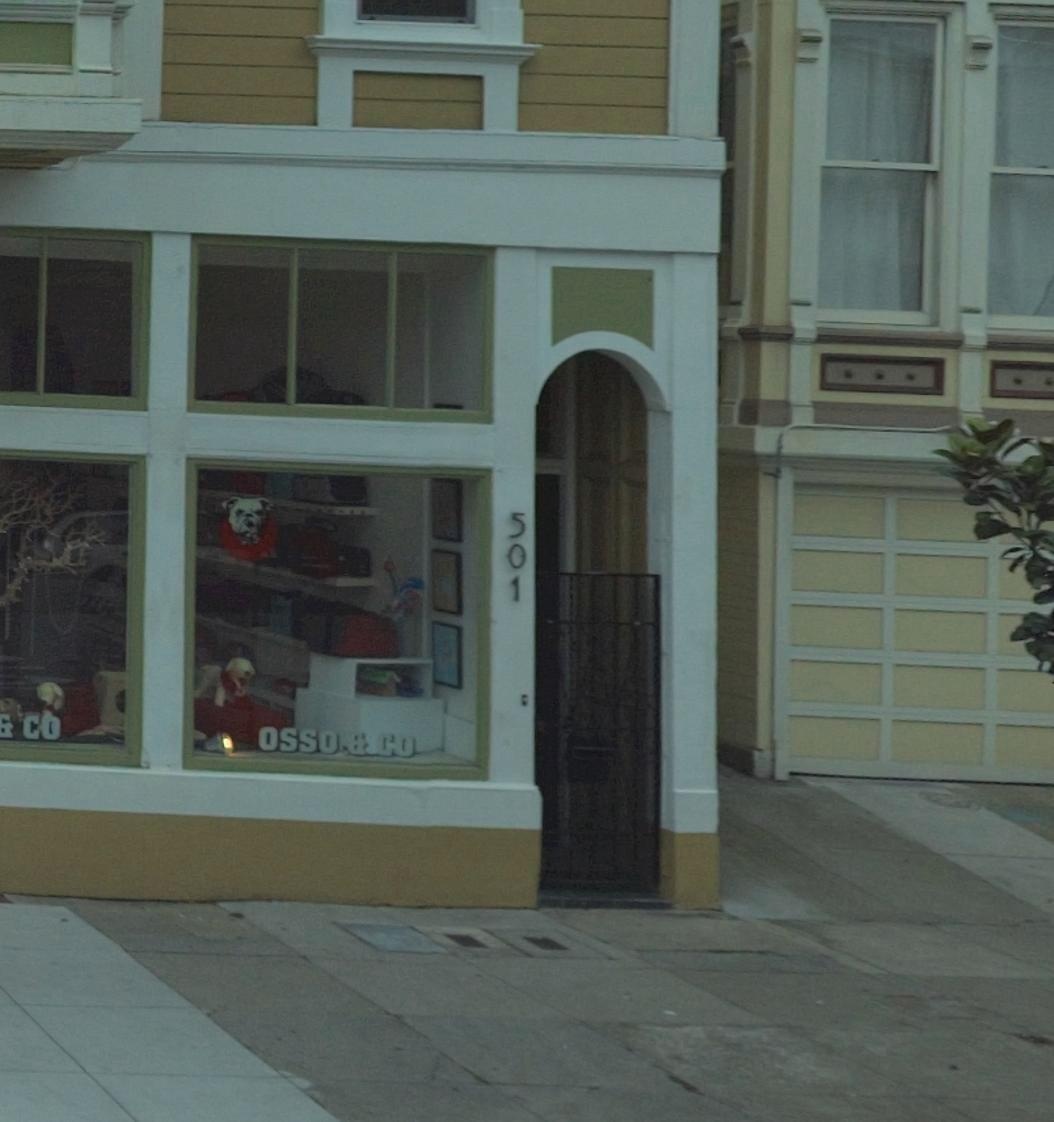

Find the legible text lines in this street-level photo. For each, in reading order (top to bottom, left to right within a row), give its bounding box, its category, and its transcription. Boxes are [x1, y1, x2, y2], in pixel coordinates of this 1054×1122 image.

[504, 509, 529, 604] StreetNumber: 501
[18, 713, 63, 743] None: CO
[256, 725, 418, 761] BusinessName: OSSO & CO